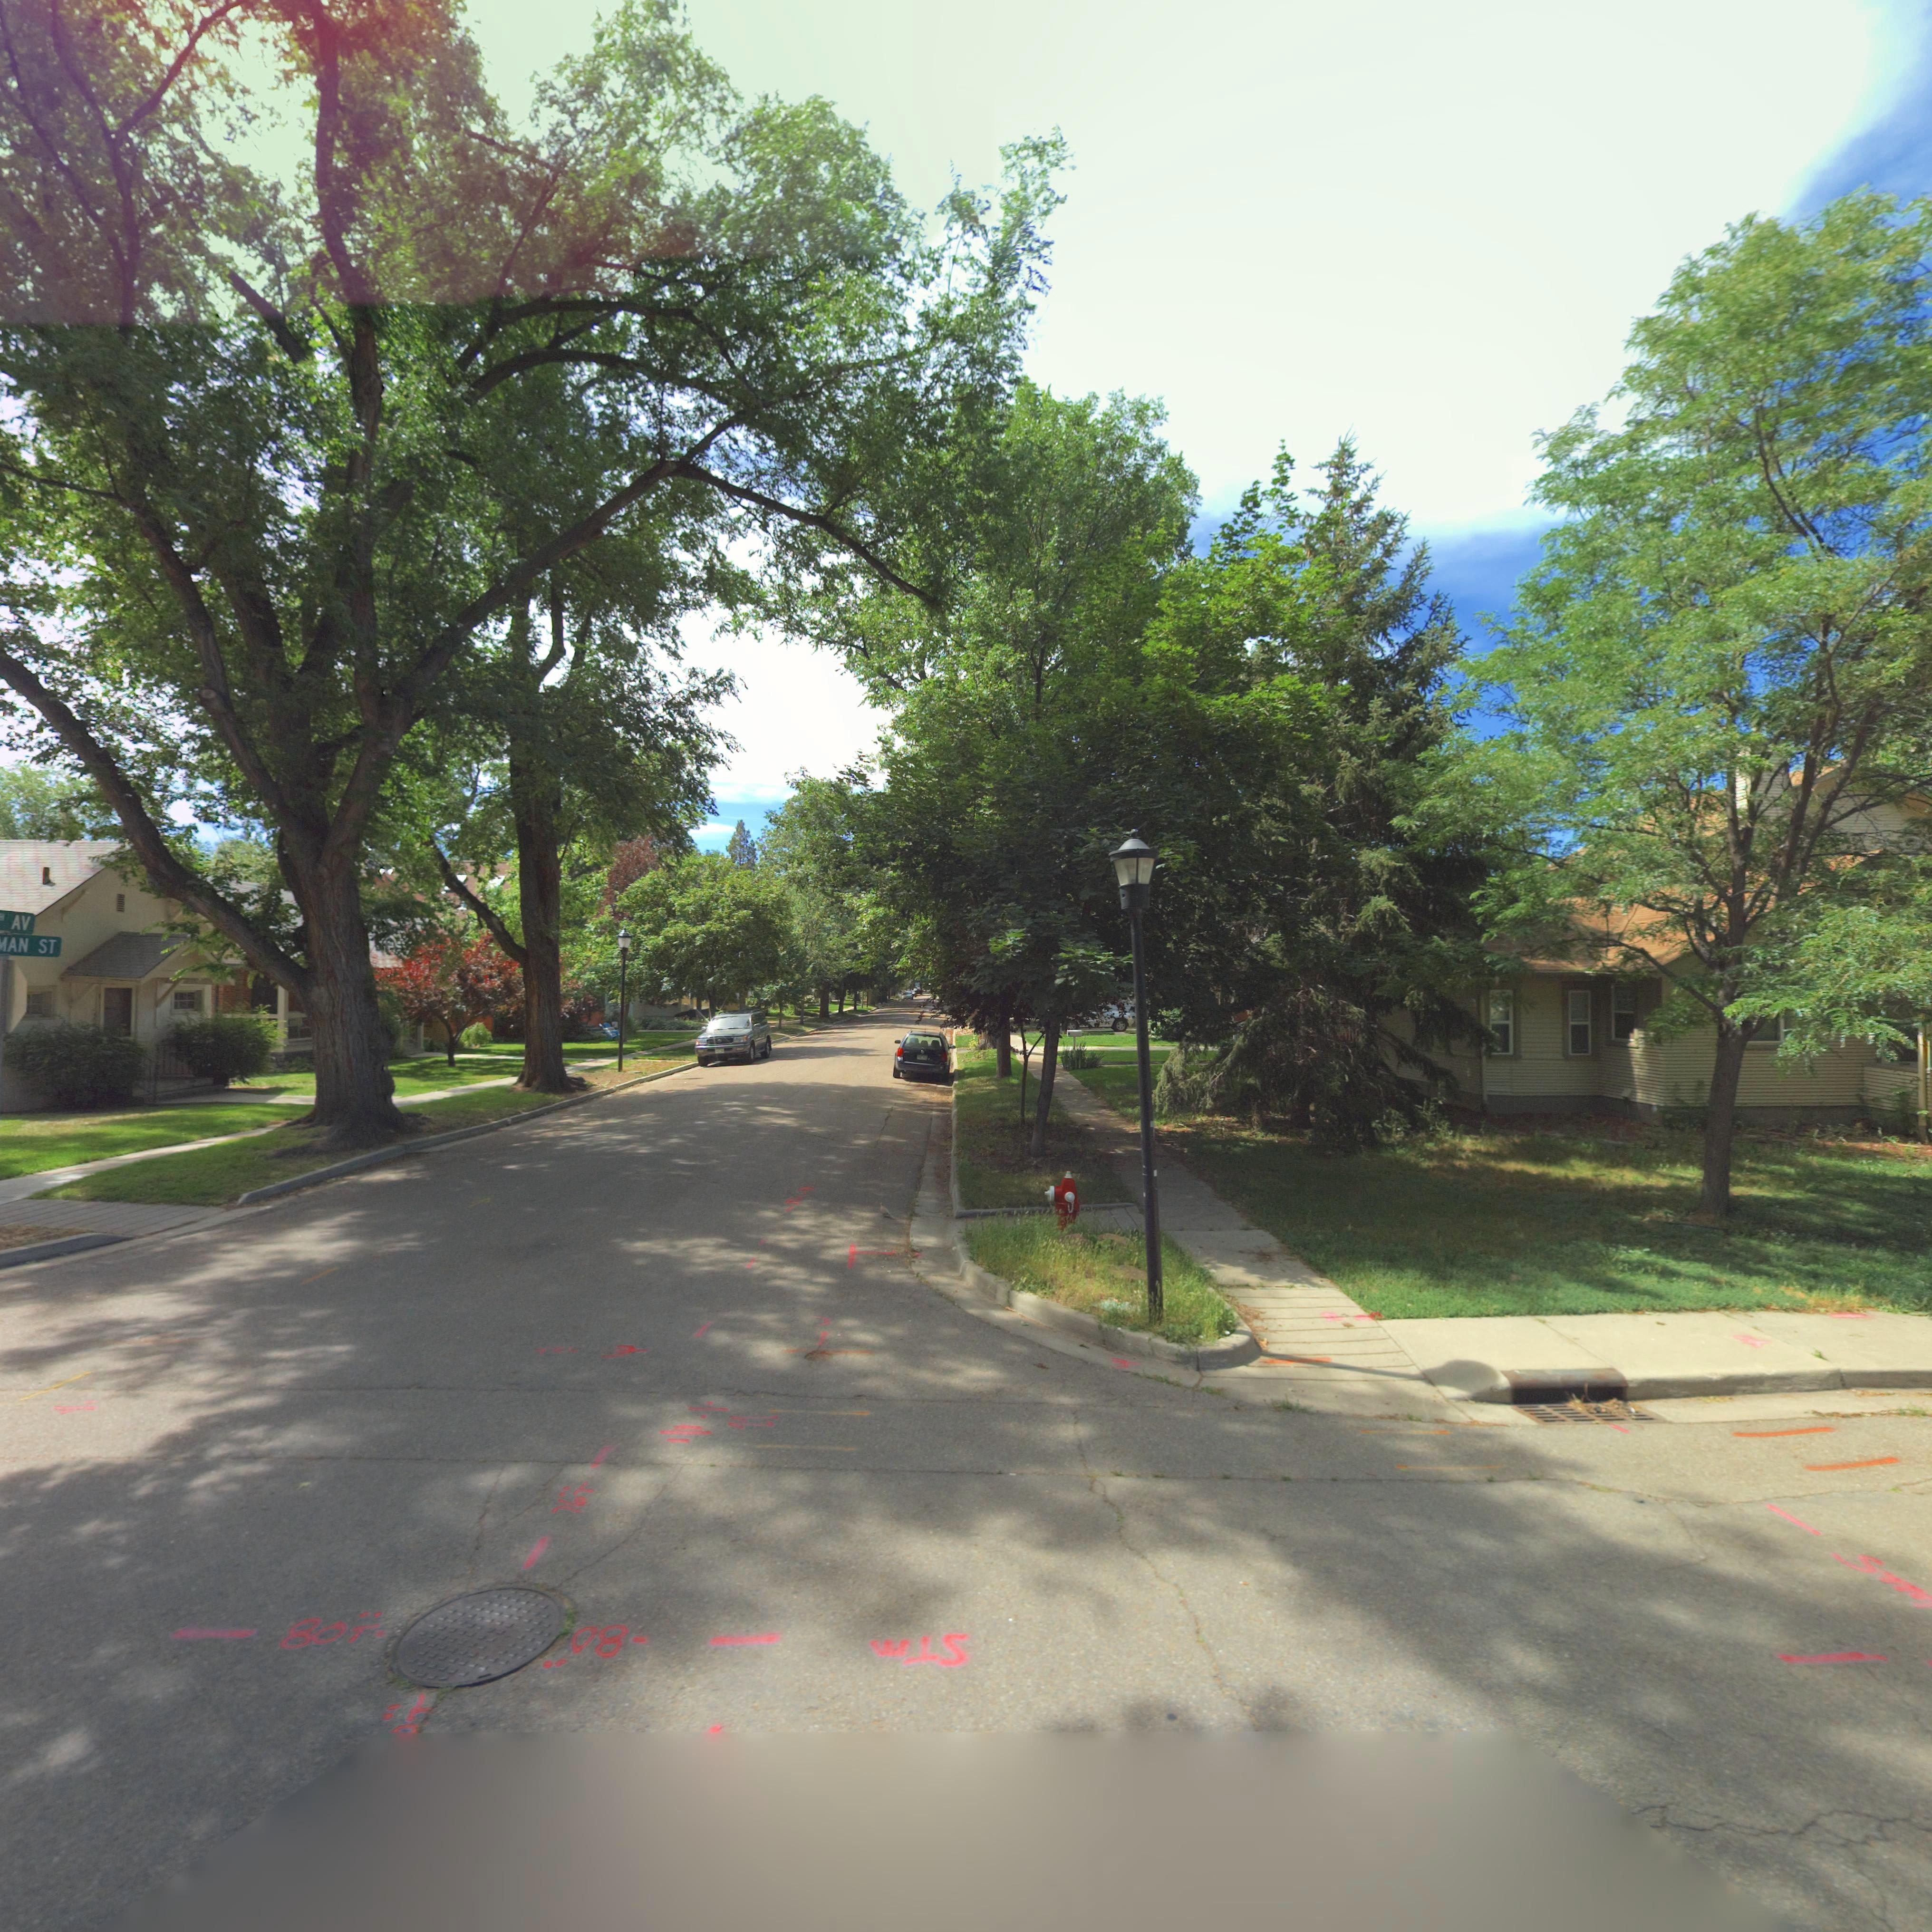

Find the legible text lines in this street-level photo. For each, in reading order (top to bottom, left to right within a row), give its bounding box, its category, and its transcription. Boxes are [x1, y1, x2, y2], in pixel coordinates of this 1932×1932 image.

[10, 915, 31, 931] StreetName: AV
[6, 937, 57, 954] StreetName: AN ST